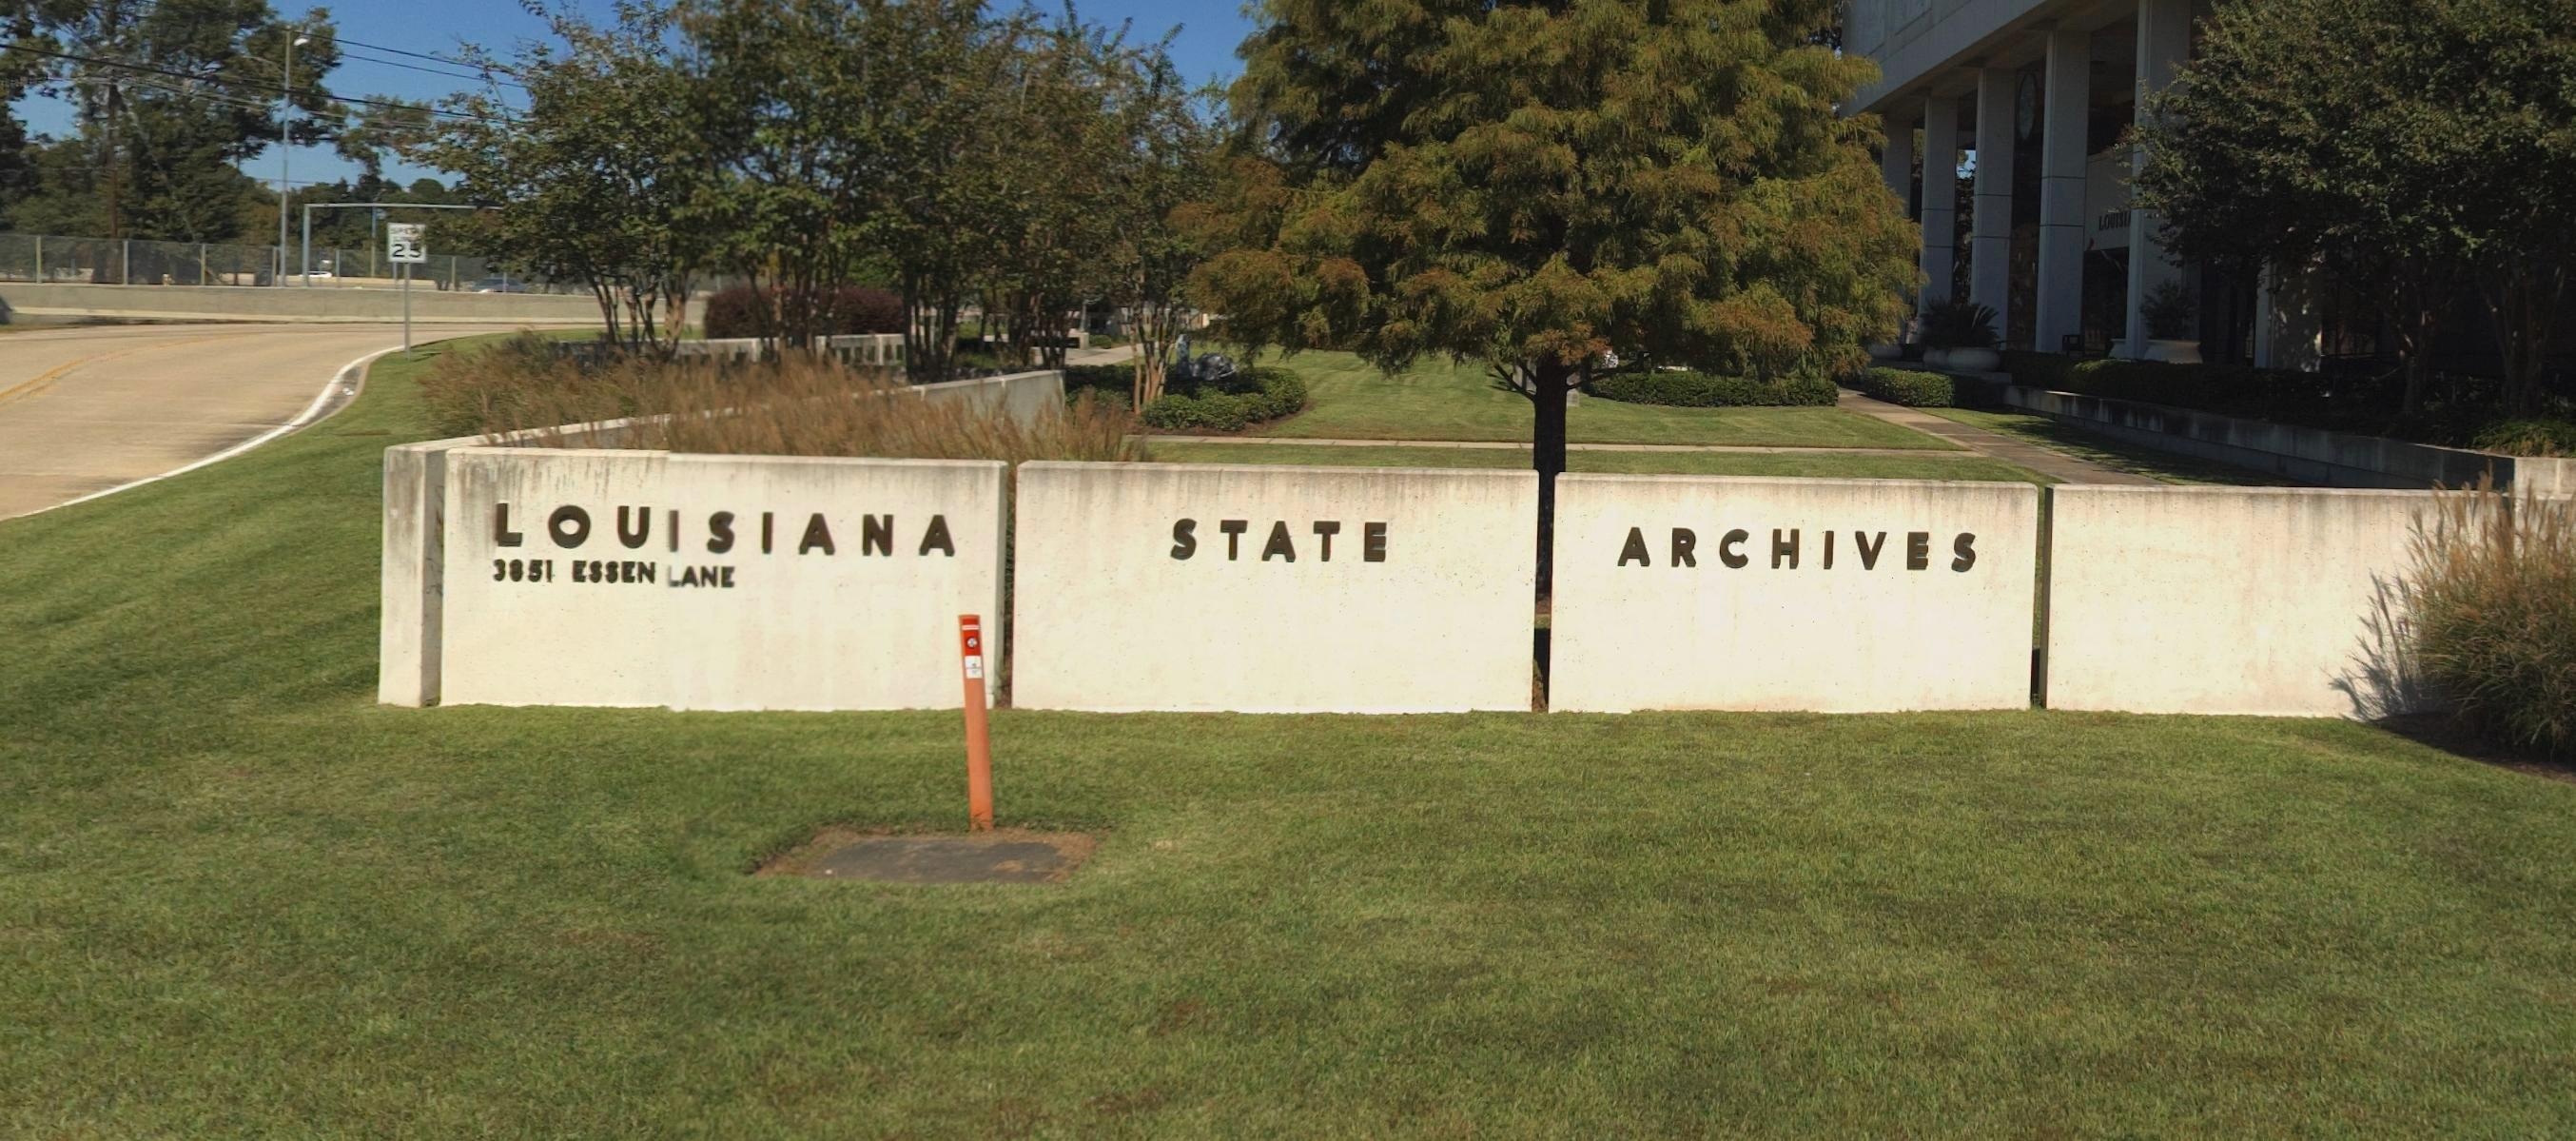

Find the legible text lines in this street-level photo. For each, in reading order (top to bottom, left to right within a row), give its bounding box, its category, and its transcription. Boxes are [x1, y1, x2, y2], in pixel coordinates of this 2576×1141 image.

[387, 225, 414, 236] None: SPE
[390, 240, 407, 261] None: 2
[489, 496, 1981, 579] BusinessName: LOUISIANA STATE ARCHIVES
[490, 557, 560, 583] StreetNumber: 3851
[571, 557, 738, 592] StreetName: ESSEN LANE